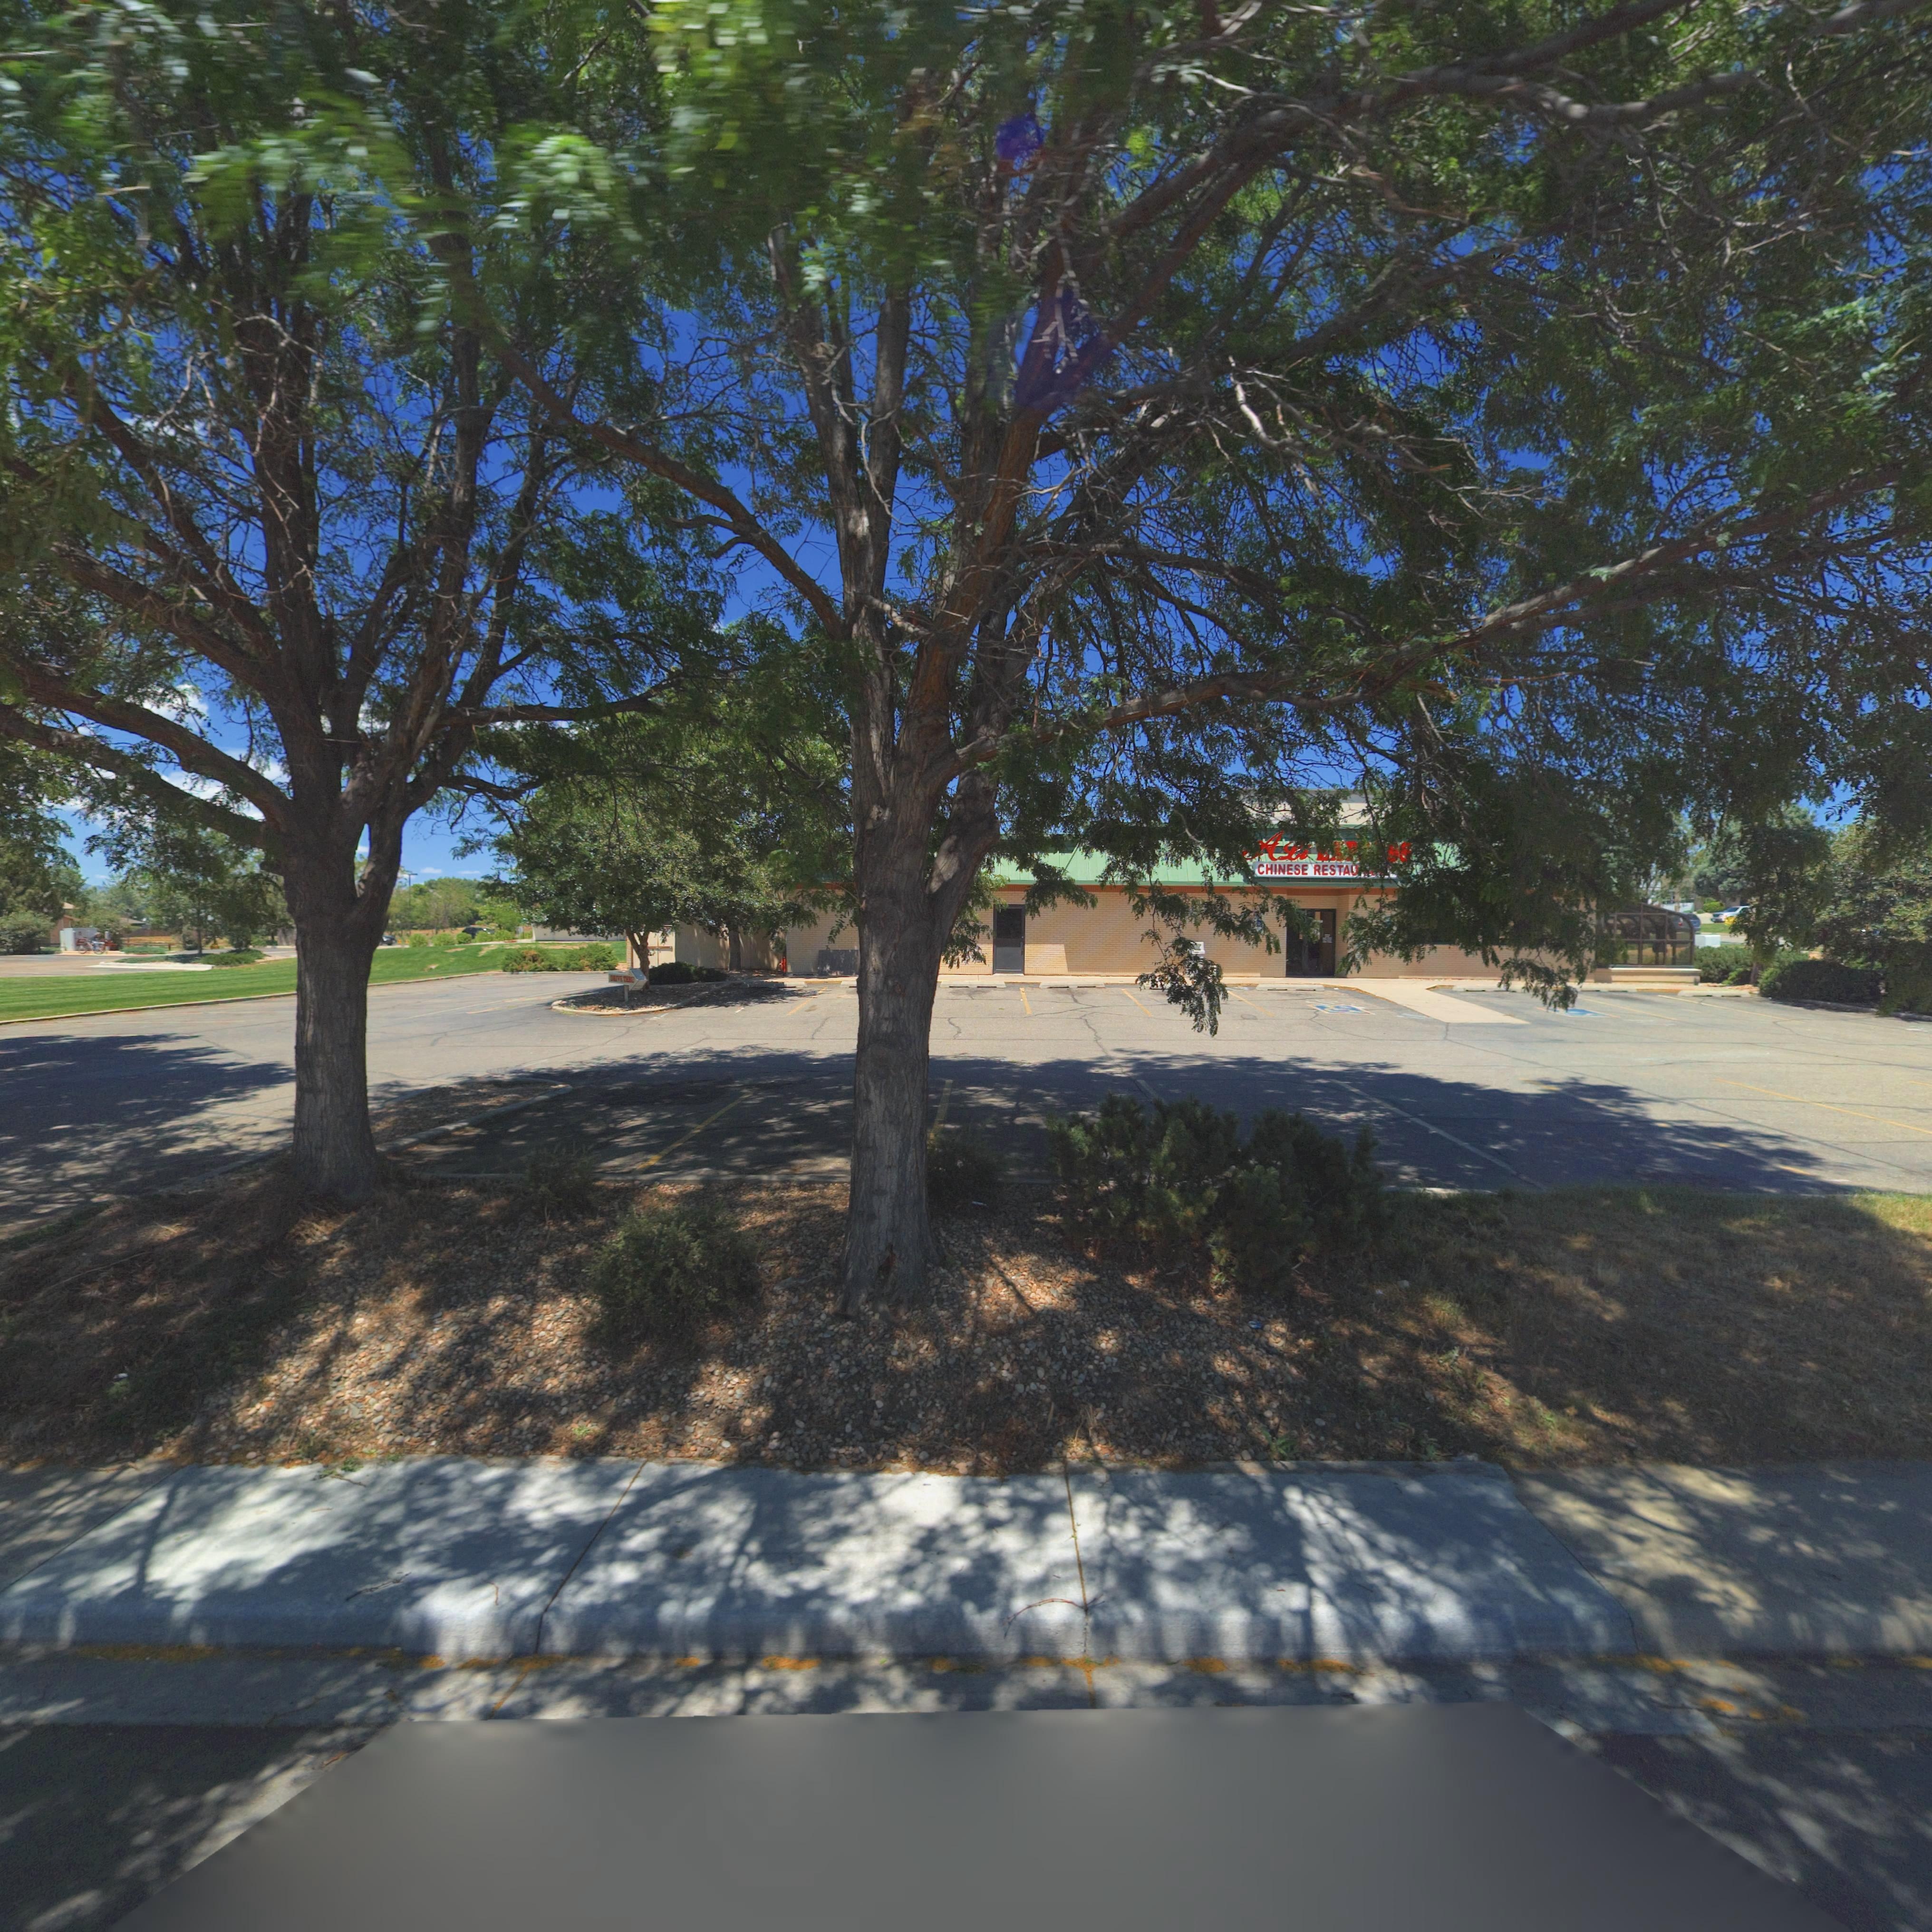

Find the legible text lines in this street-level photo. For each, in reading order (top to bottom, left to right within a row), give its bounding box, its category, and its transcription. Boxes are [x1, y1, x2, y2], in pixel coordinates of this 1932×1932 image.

[1237, 829, 1413, 863] BusinessName: Ali ******S